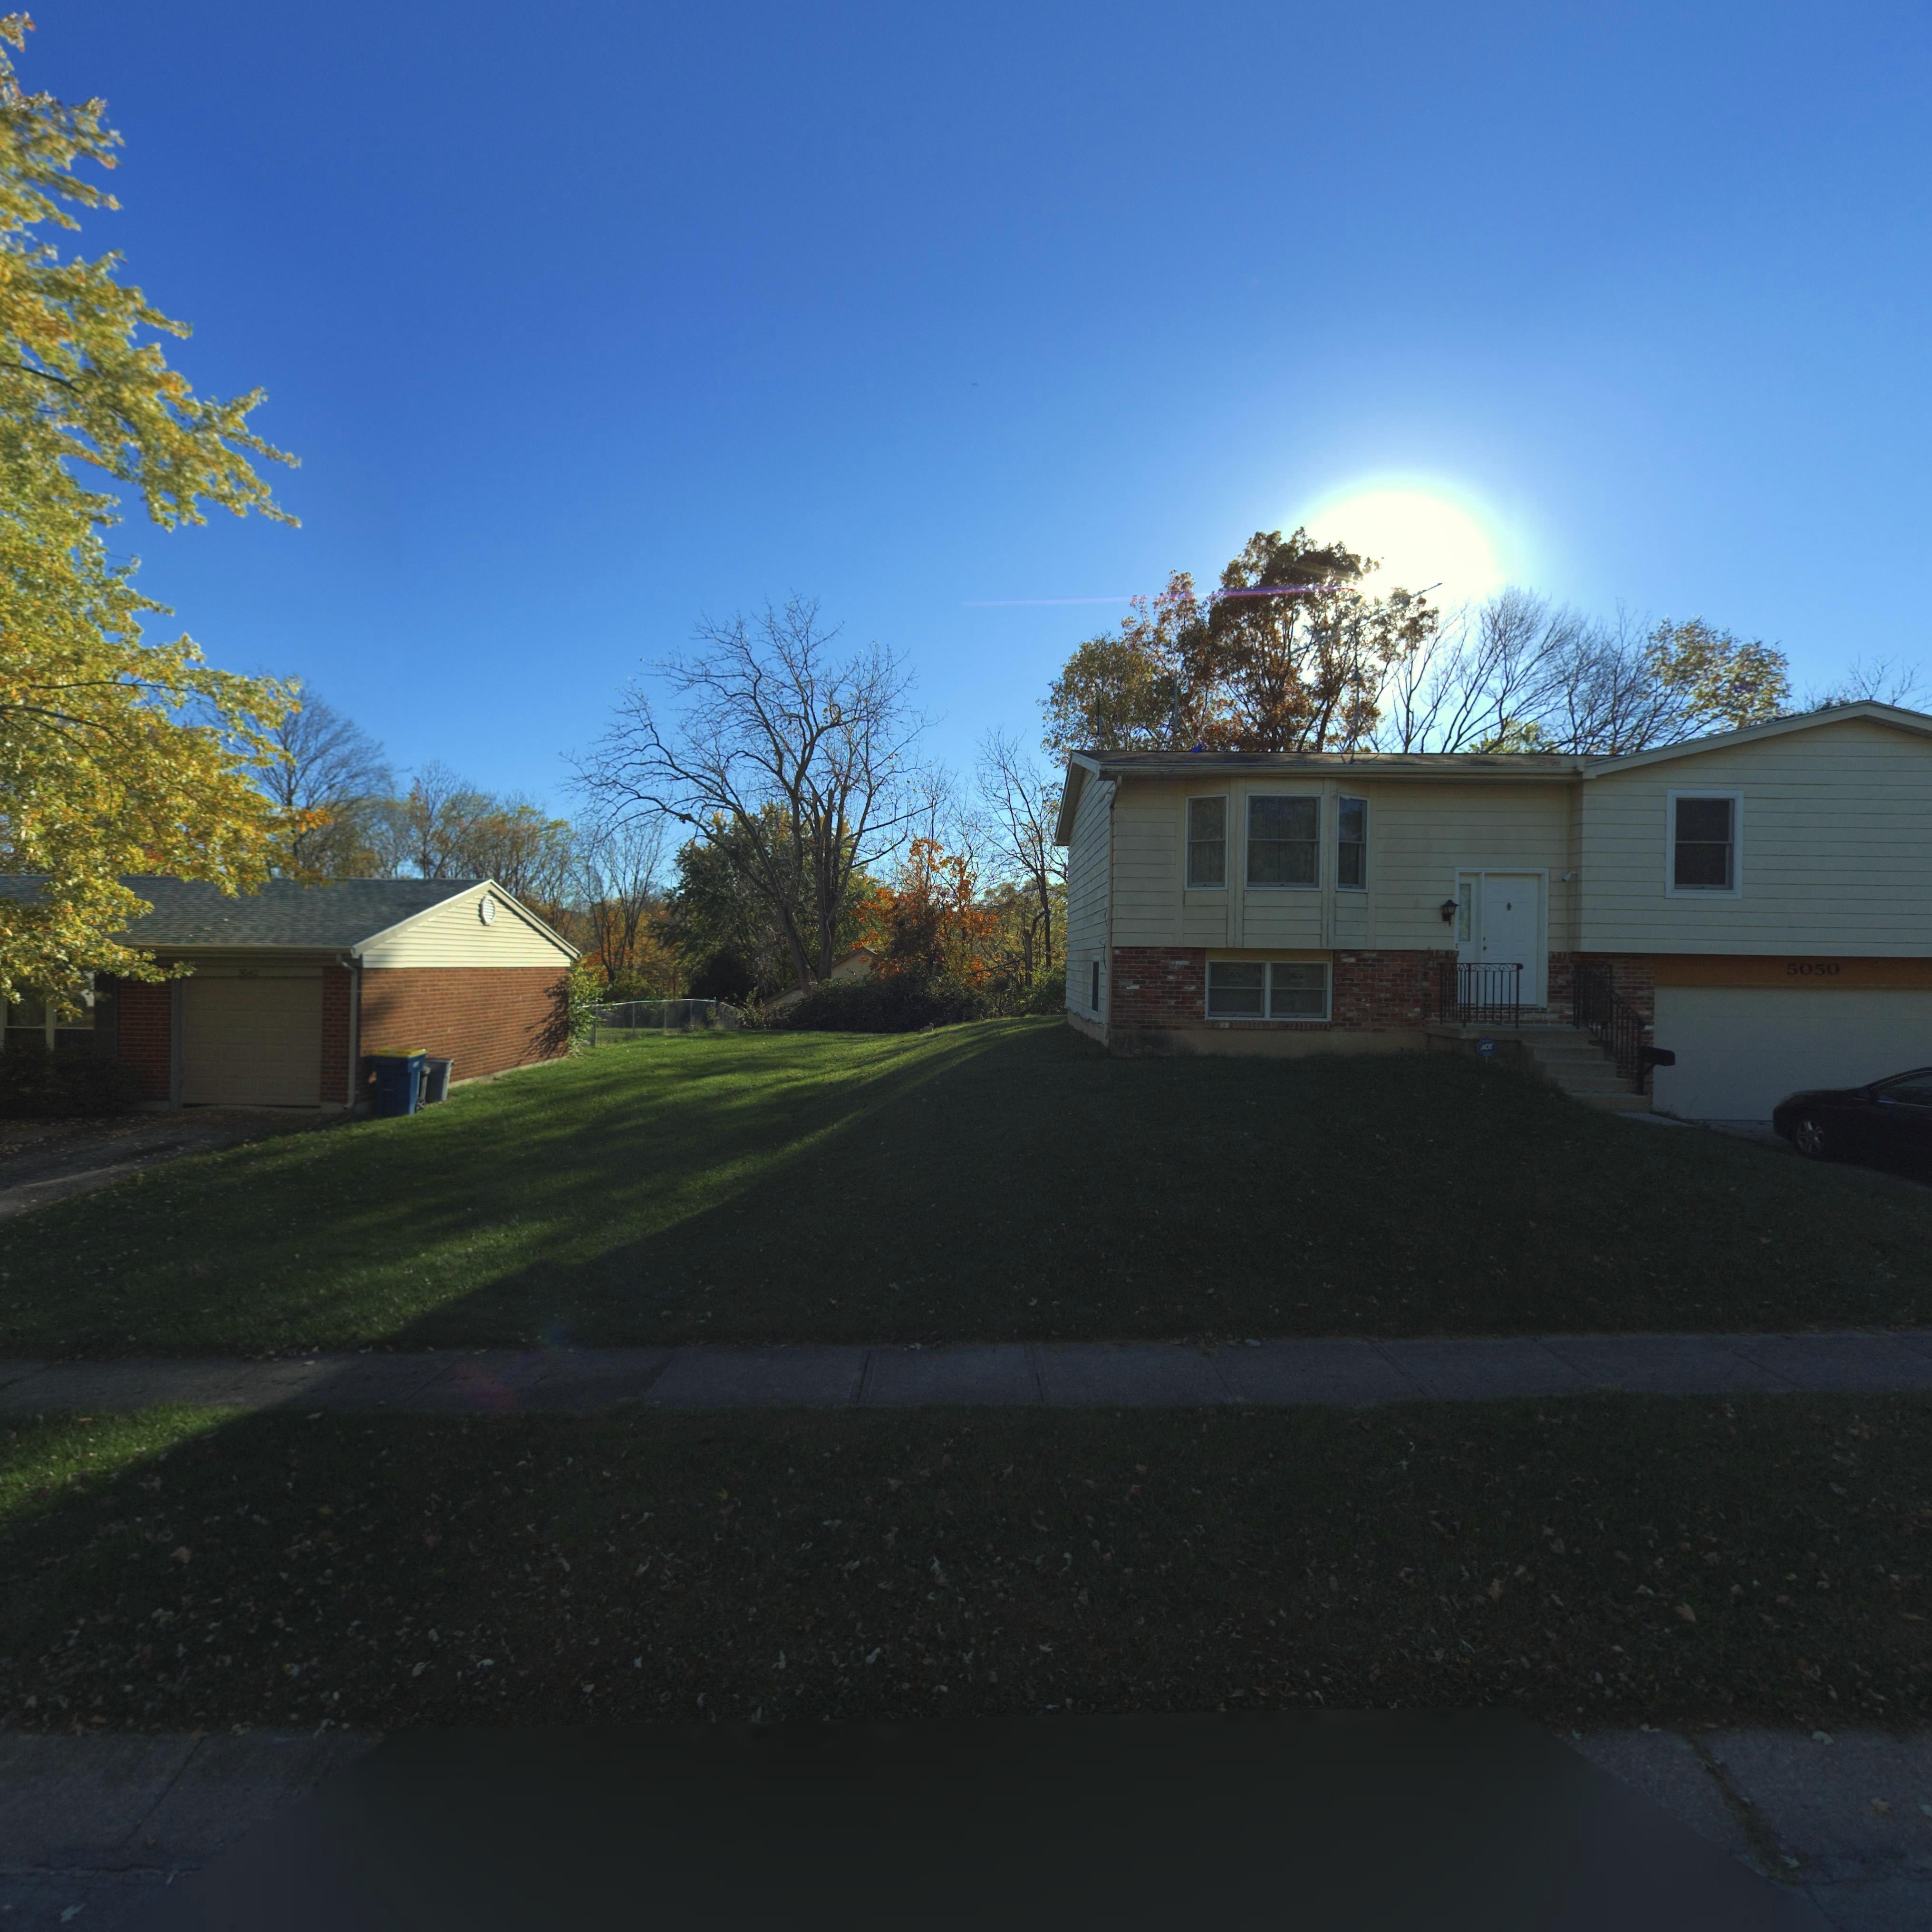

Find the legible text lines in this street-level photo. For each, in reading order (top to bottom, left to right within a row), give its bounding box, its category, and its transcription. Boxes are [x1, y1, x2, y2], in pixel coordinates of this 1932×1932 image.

[237, 968, 260, 977] StreetNumber: 5042
[1785, 962, 1840, 976] StreetNumber: 5050